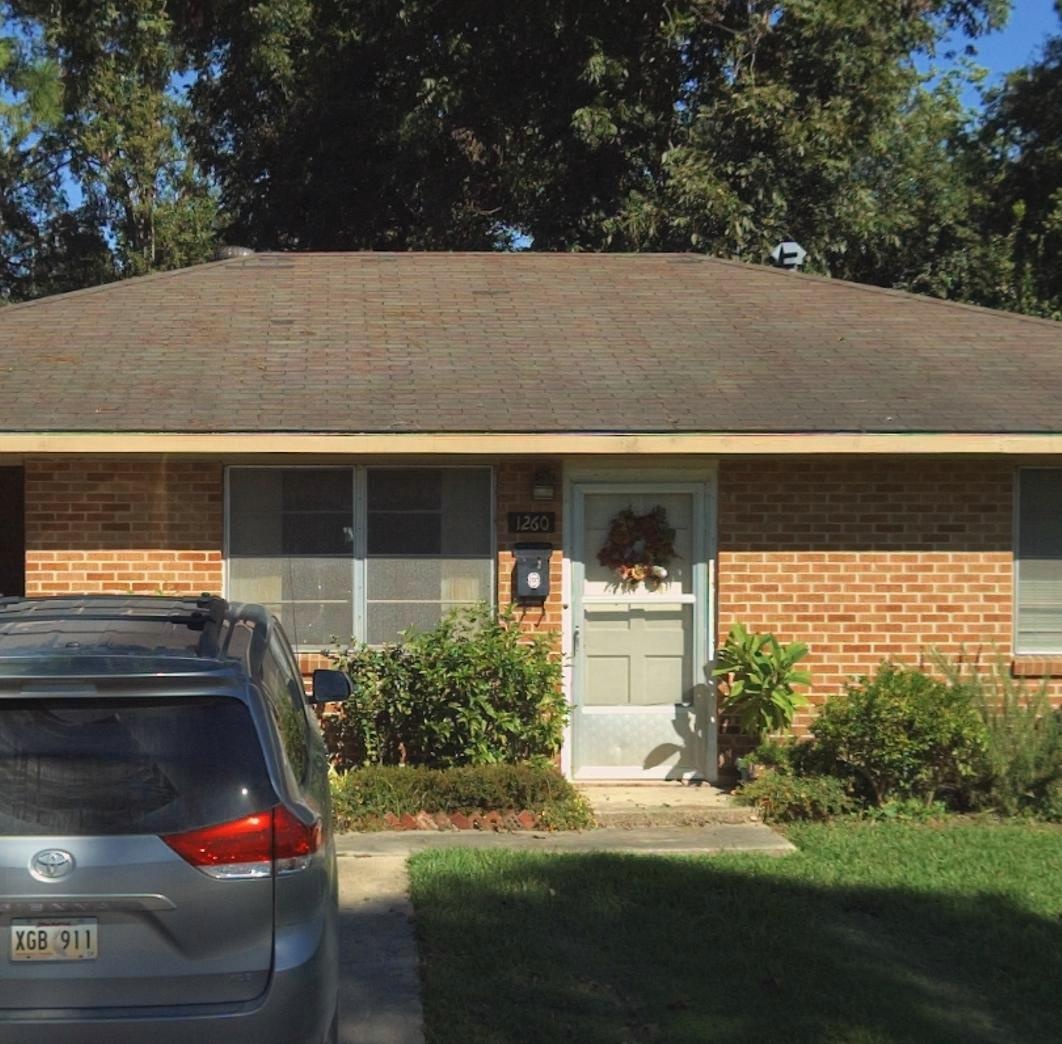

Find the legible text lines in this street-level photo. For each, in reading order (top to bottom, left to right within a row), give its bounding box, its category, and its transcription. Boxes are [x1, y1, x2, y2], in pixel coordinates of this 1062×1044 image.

[515, 514, 550, 532] StreetNumber: 1260
[15, 901, 116, 914] None: IENNA
[14, 929, 91, 952] None: XGB*911